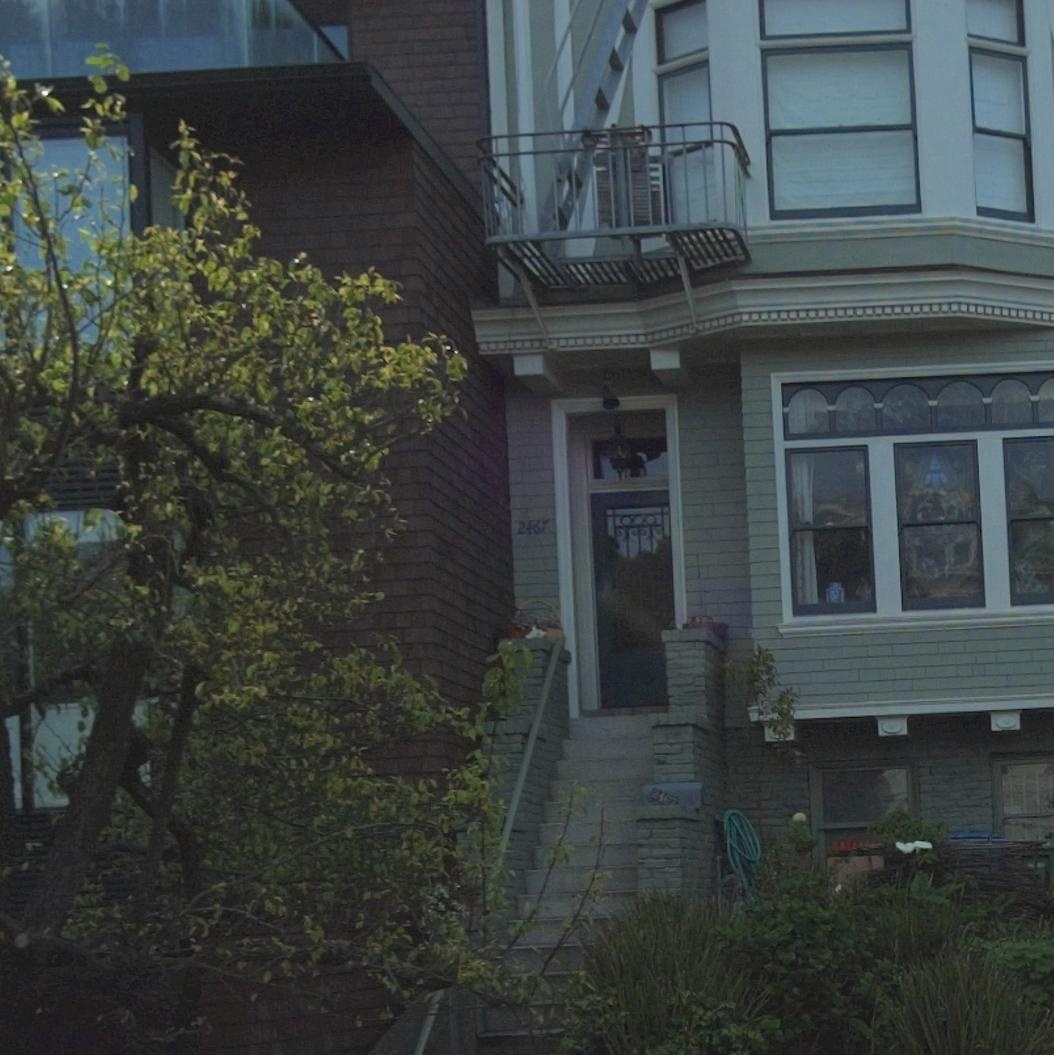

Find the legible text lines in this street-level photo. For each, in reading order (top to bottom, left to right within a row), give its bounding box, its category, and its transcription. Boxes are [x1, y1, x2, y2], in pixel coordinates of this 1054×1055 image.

[516, 517, 552, 537] StreetNumber: 2467